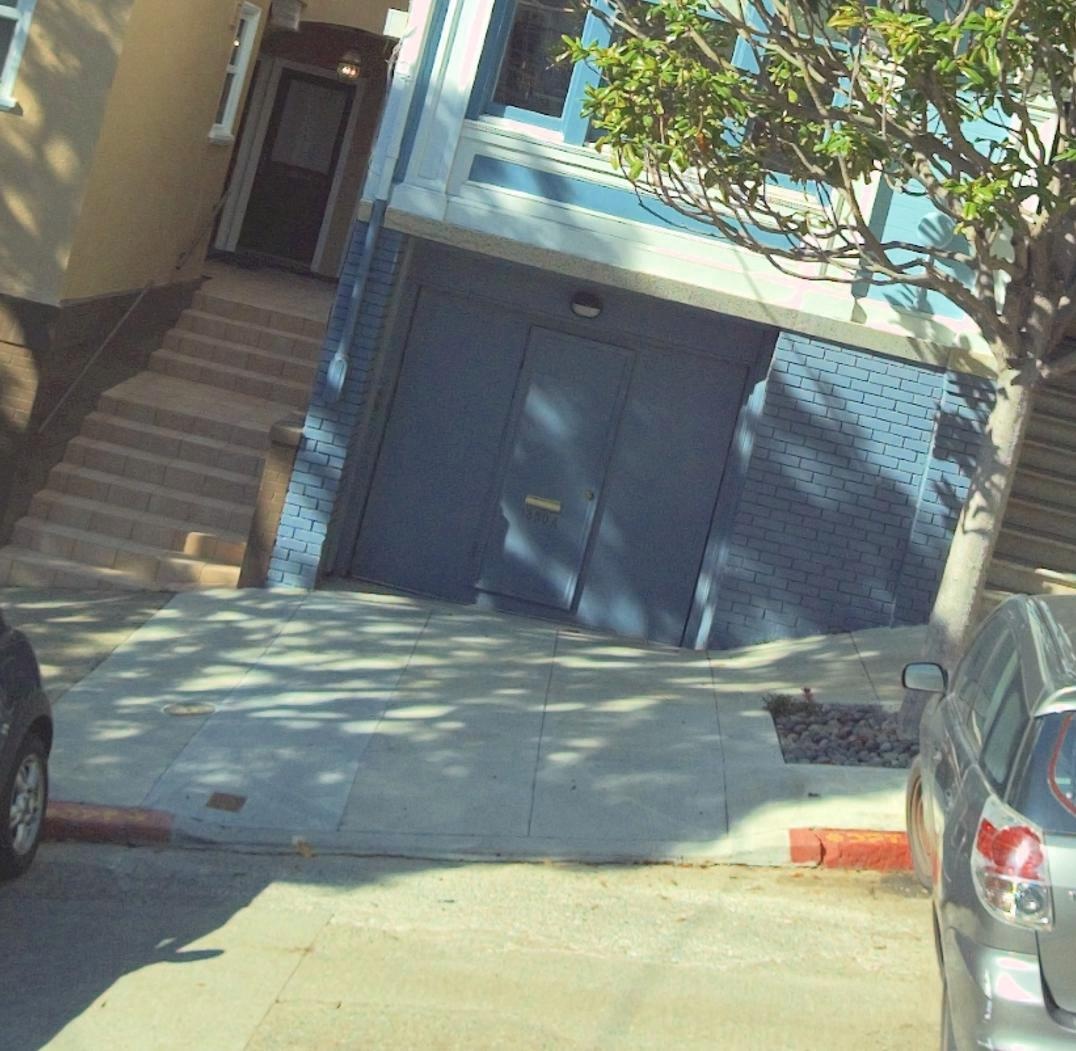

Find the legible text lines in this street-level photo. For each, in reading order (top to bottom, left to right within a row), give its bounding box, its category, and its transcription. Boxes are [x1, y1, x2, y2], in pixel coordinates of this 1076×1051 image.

[519, 503, 561, 533] StreetNumber: 1880A